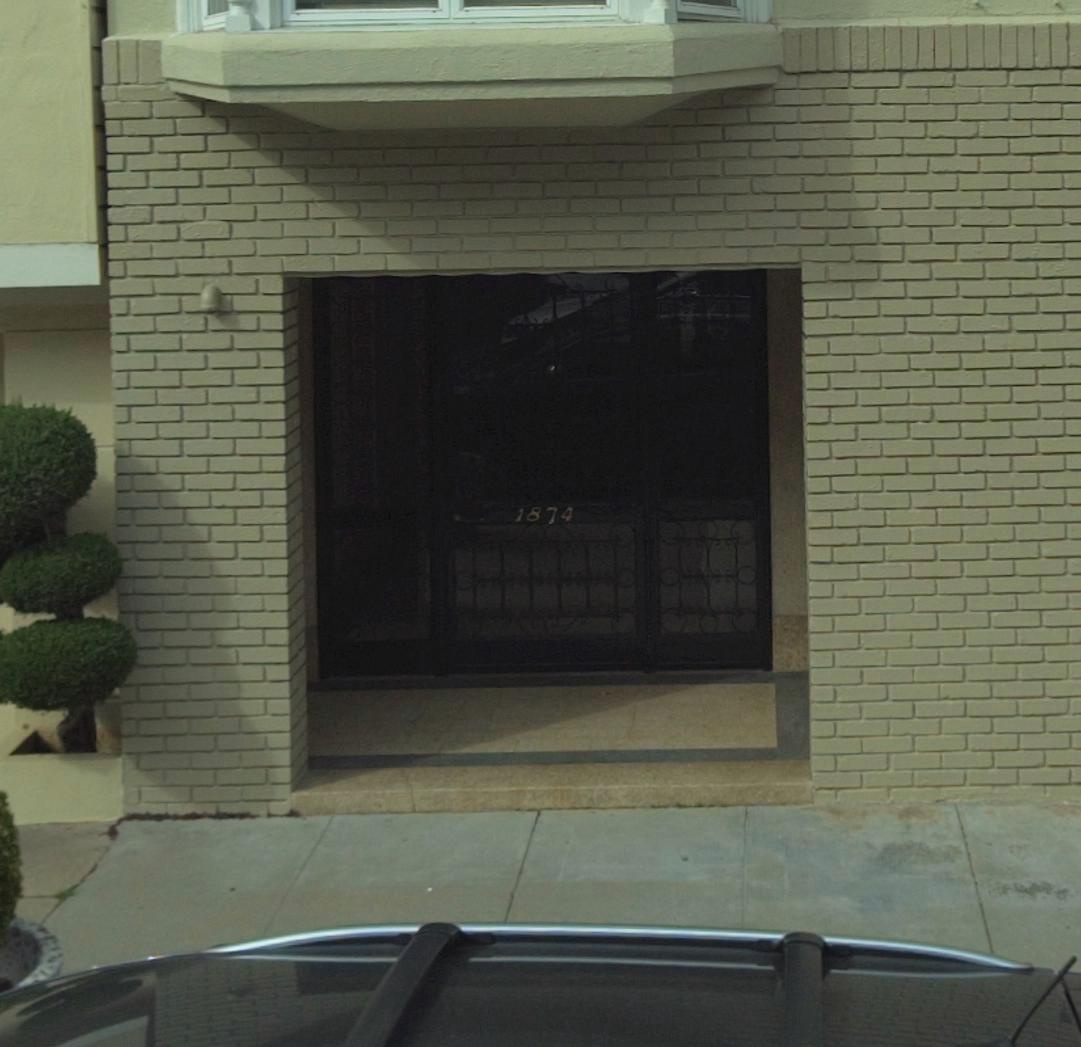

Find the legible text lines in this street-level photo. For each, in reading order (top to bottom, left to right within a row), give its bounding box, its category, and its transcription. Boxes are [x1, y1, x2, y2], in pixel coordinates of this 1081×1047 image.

[509, 504, 577, 527] StreetNumber: 1874